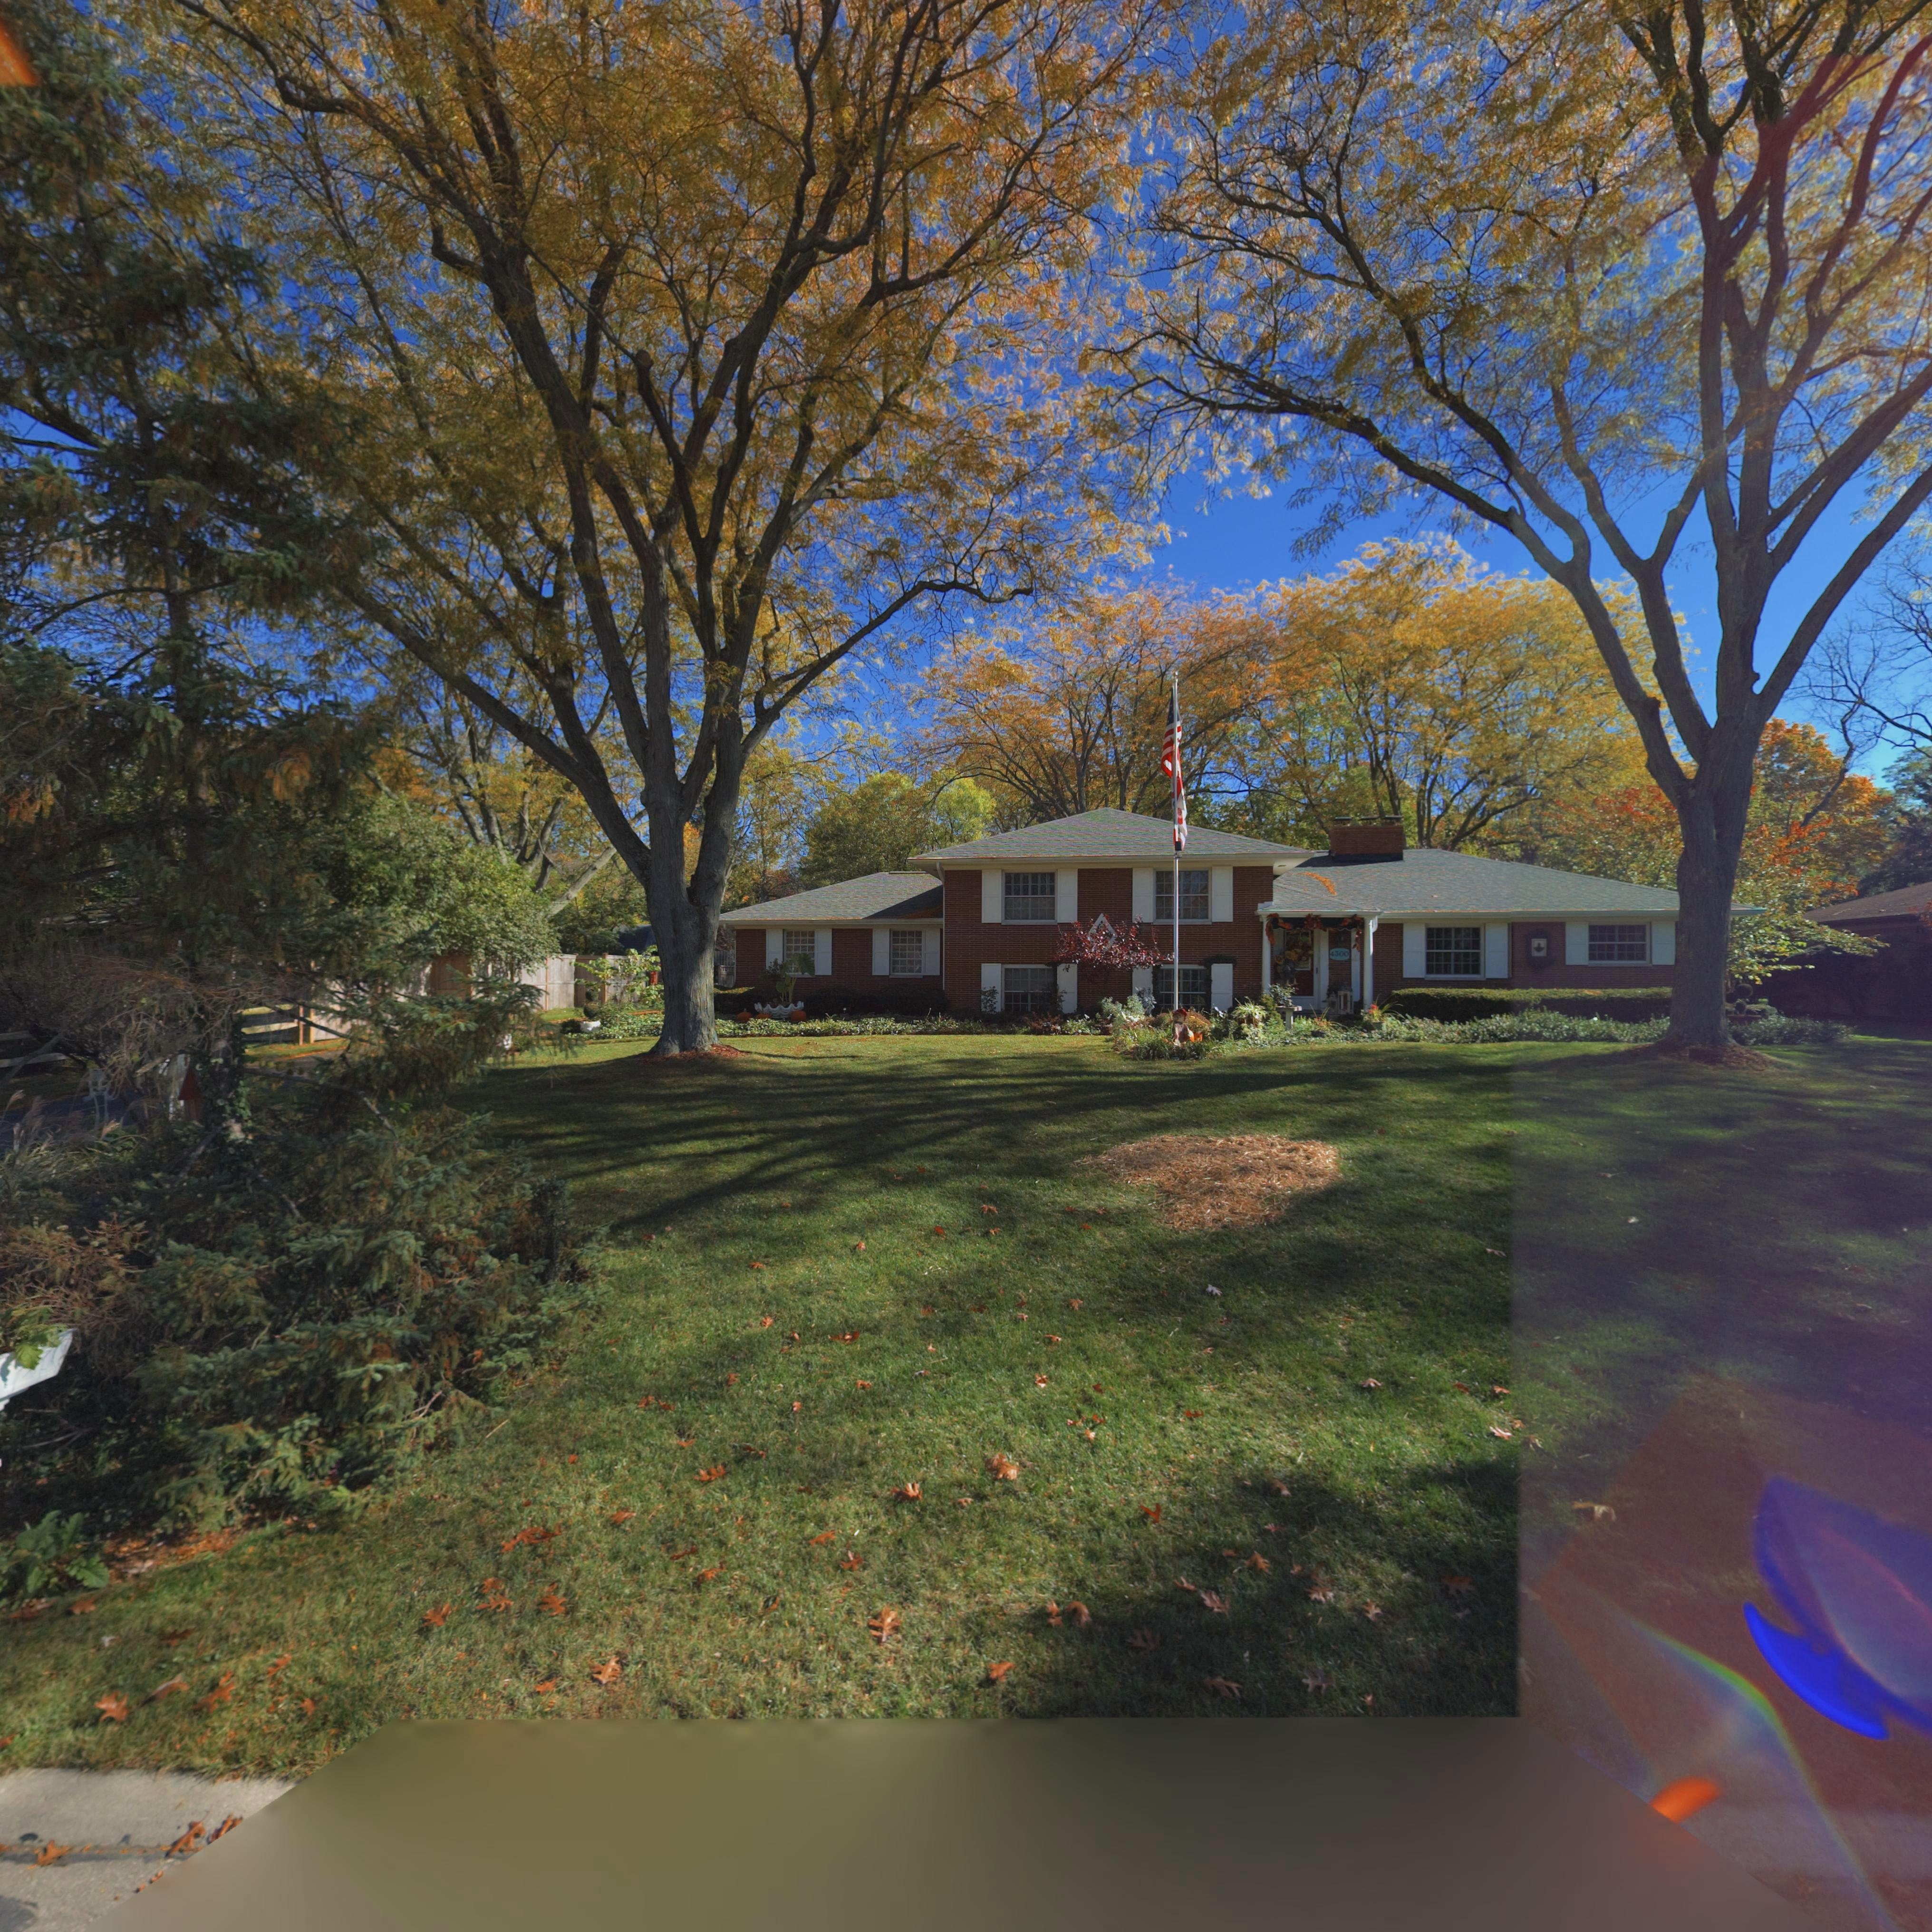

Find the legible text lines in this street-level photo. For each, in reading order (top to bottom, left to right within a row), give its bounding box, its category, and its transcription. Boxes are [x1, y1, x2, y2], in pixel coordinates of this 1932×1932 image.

[1329, 950, 1349, 957] StreetNumber: 4300